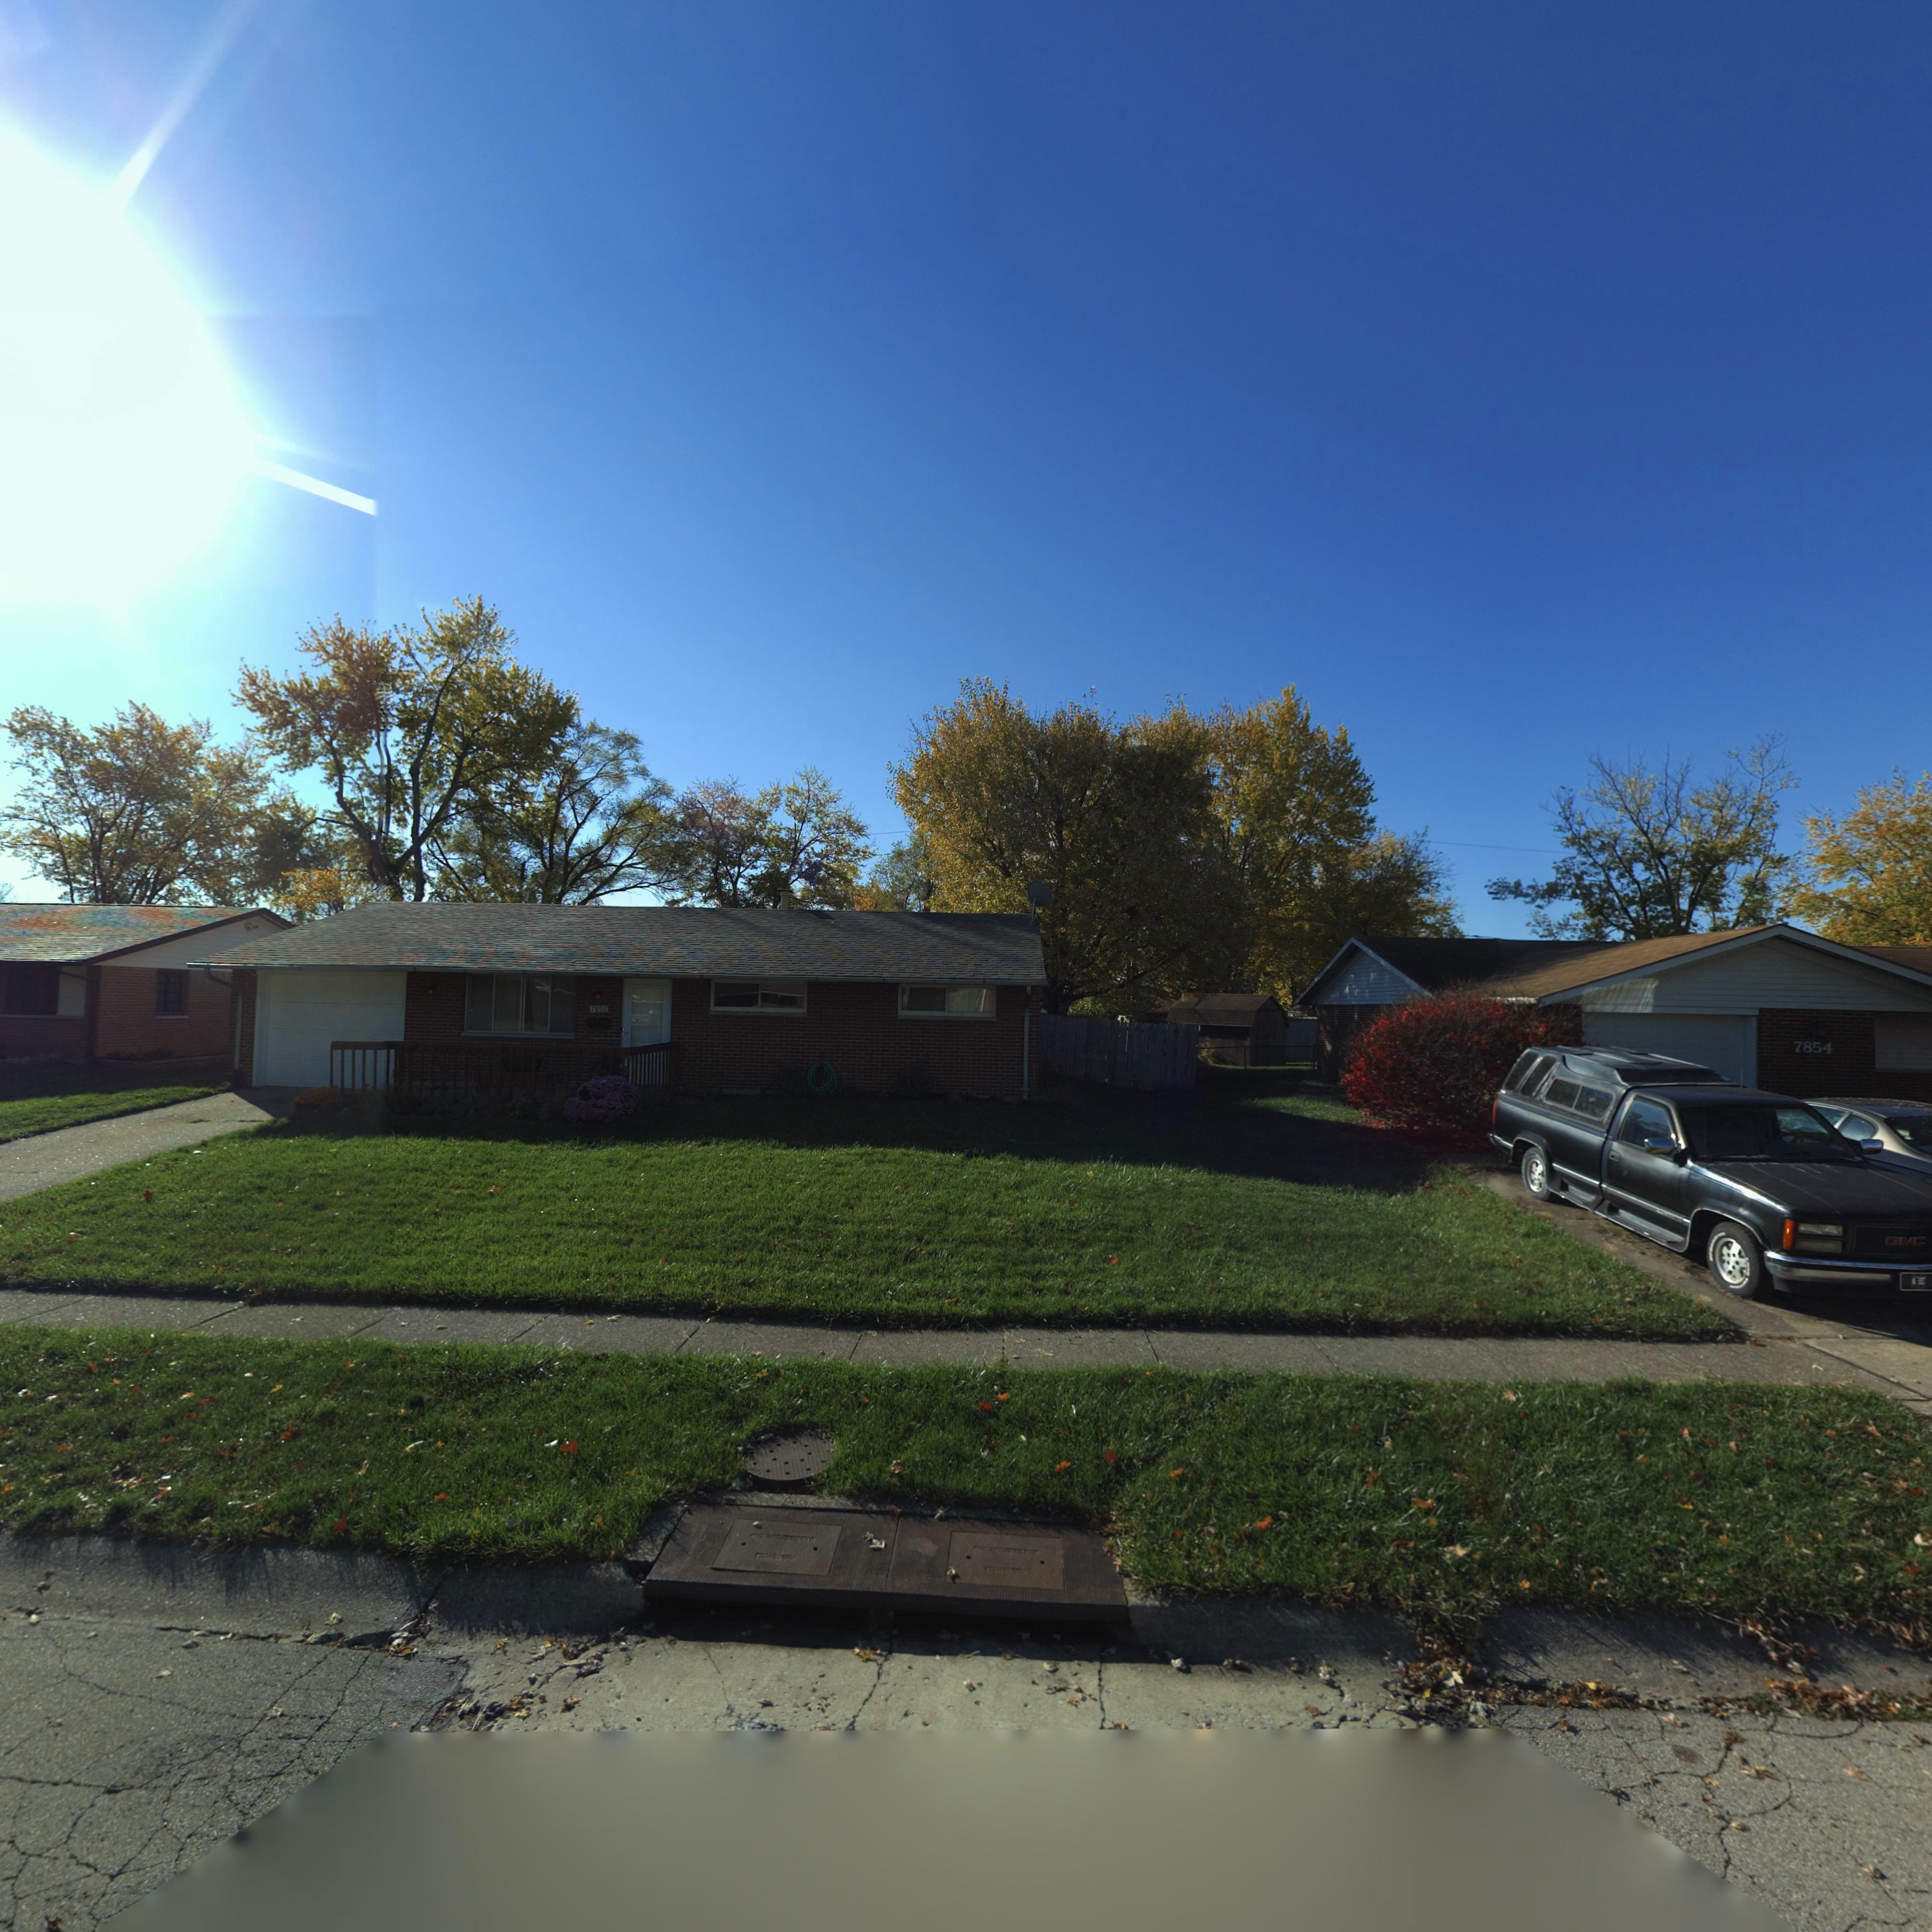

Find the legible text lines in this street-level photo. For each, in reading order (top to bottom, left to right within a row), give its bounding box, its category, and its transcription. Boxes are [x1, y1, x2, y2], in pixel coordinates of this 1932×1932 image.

[590, 1005, 608, 1013] StreetNumber: 7858
[1794, 1041, 1835, 1055] StreetNumber: 7854